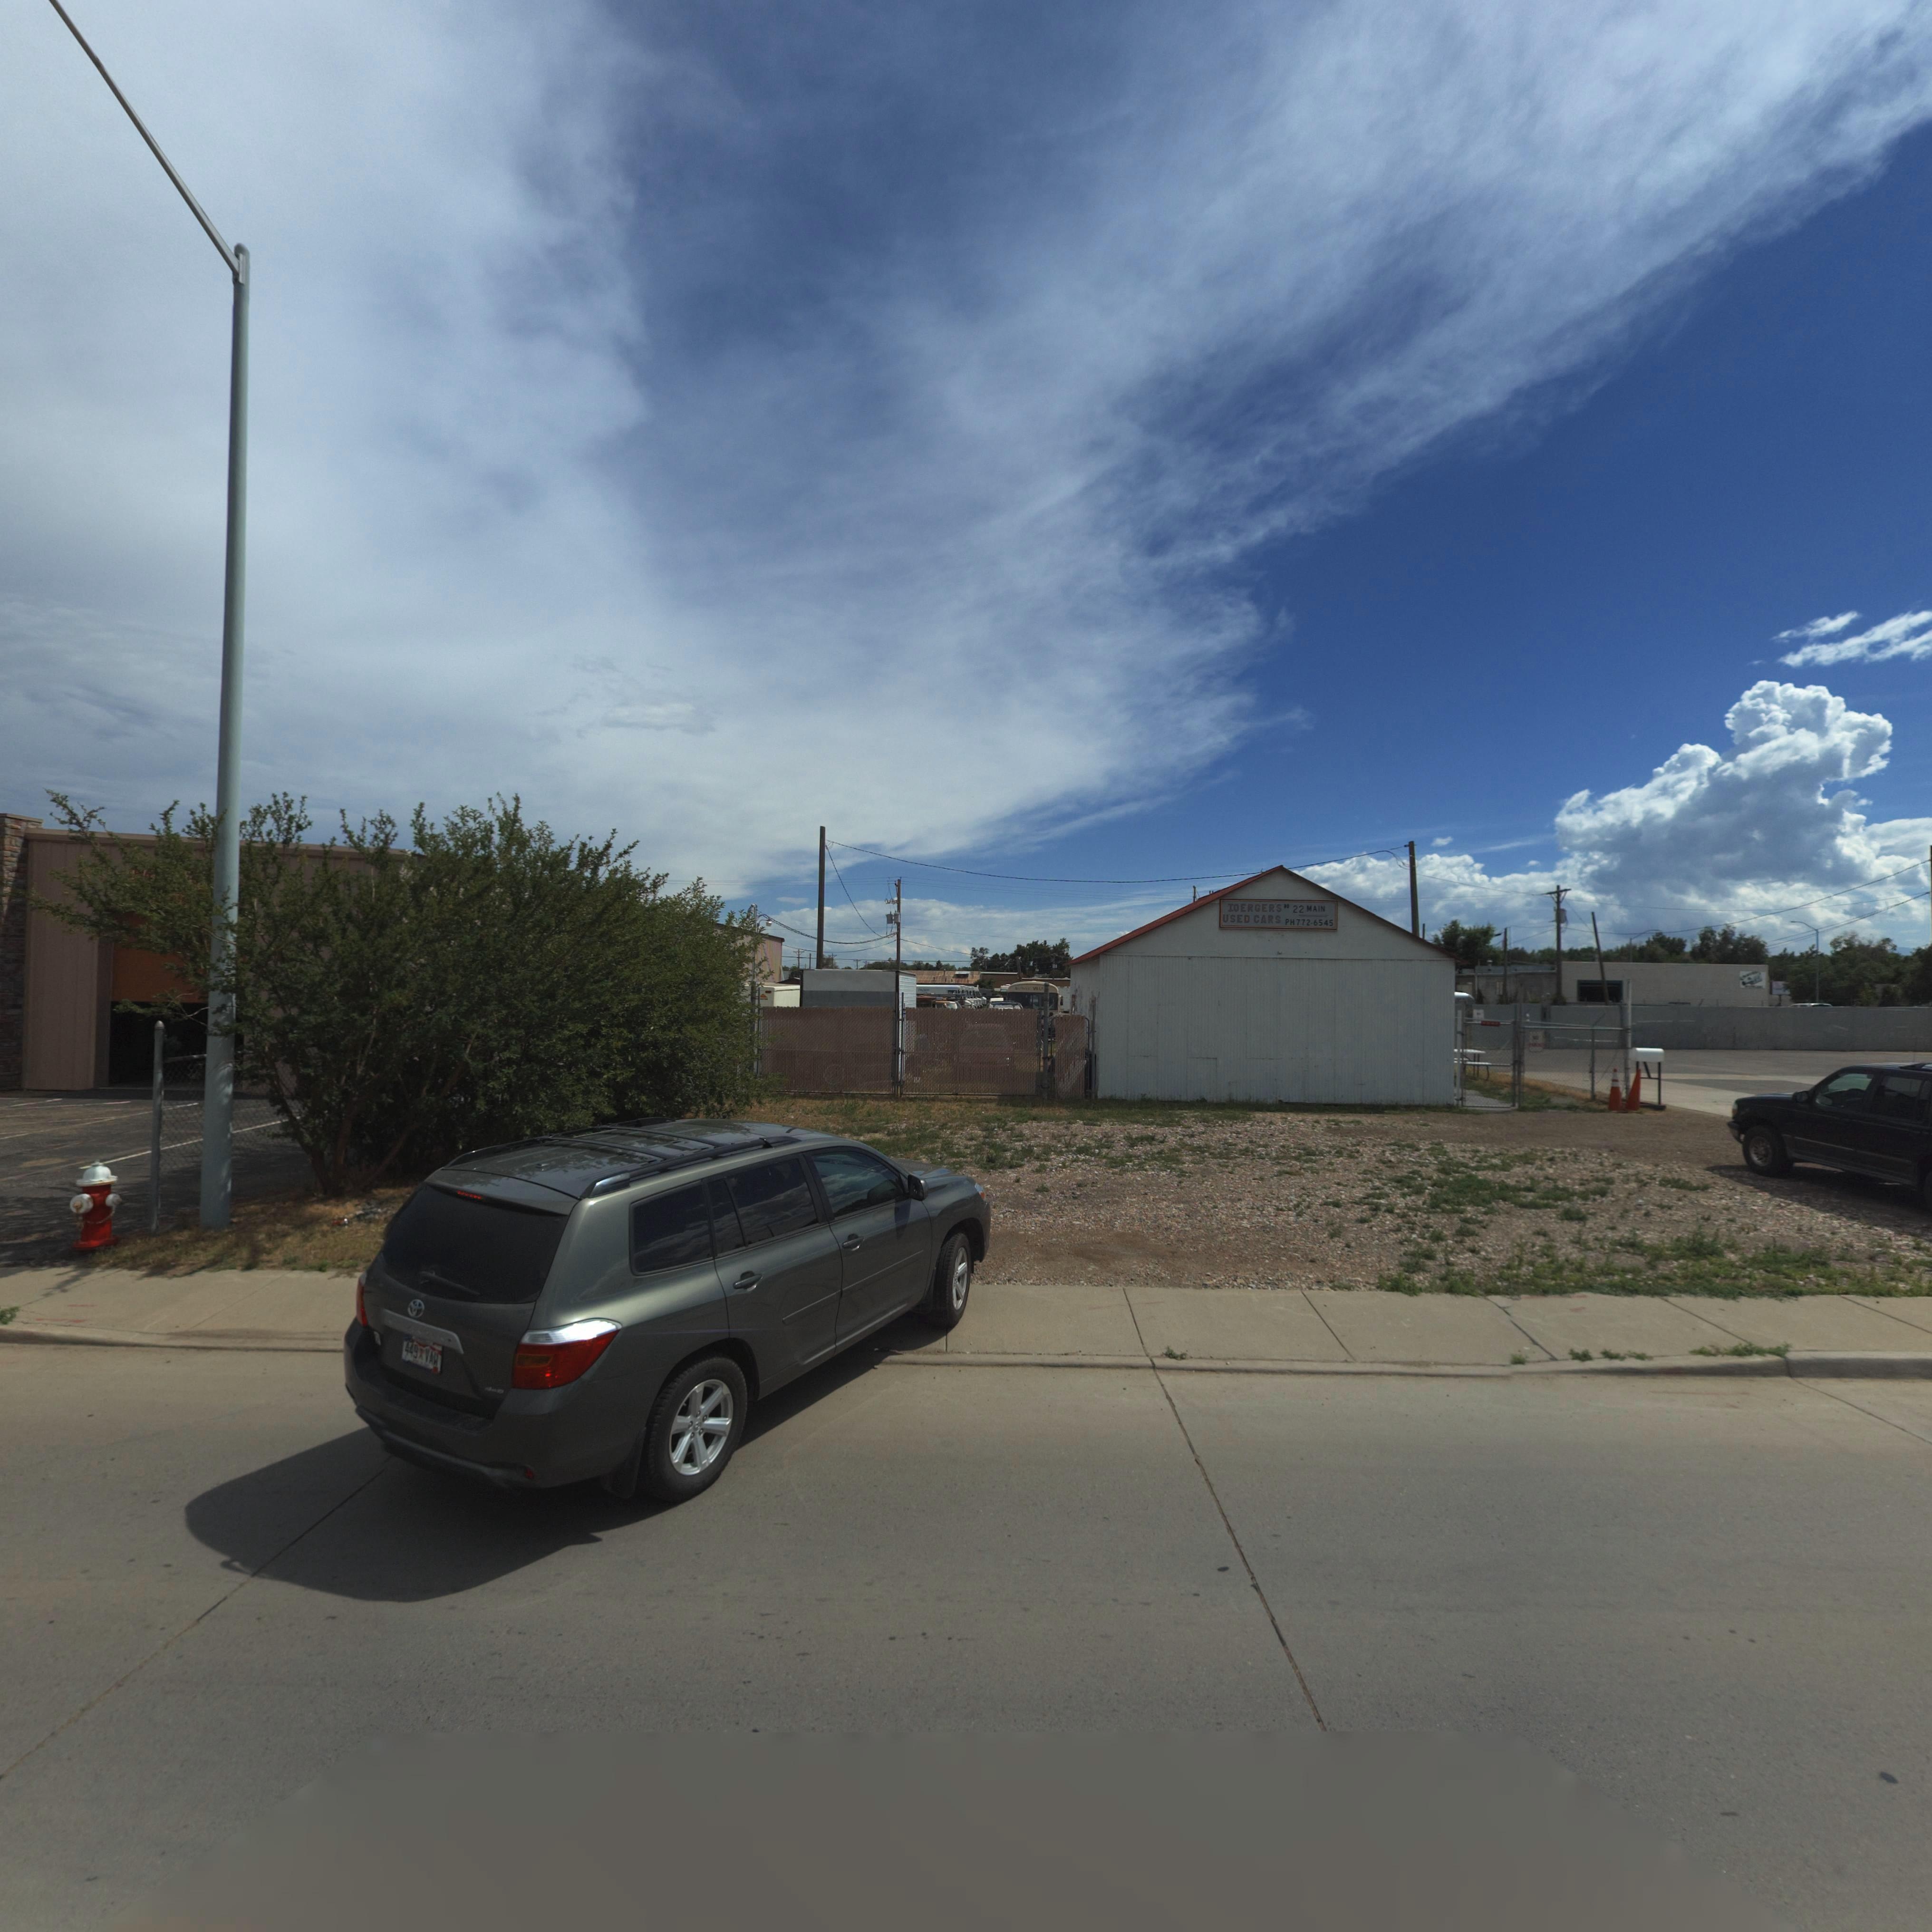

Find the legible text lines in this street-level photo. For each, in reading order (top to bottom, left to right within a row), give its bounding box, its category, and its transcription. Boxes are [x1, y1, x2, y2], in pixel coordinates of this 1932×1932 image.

[1227, 902, 1282, 912] BusinessName: IOERGER'S
[1293, 905, 1304, 913] StreetNumber: 22
[1306, 905, 1325, 912] StreetName: MAIN
[1222, 913, 1281, 923] BusinessName: USED CARS